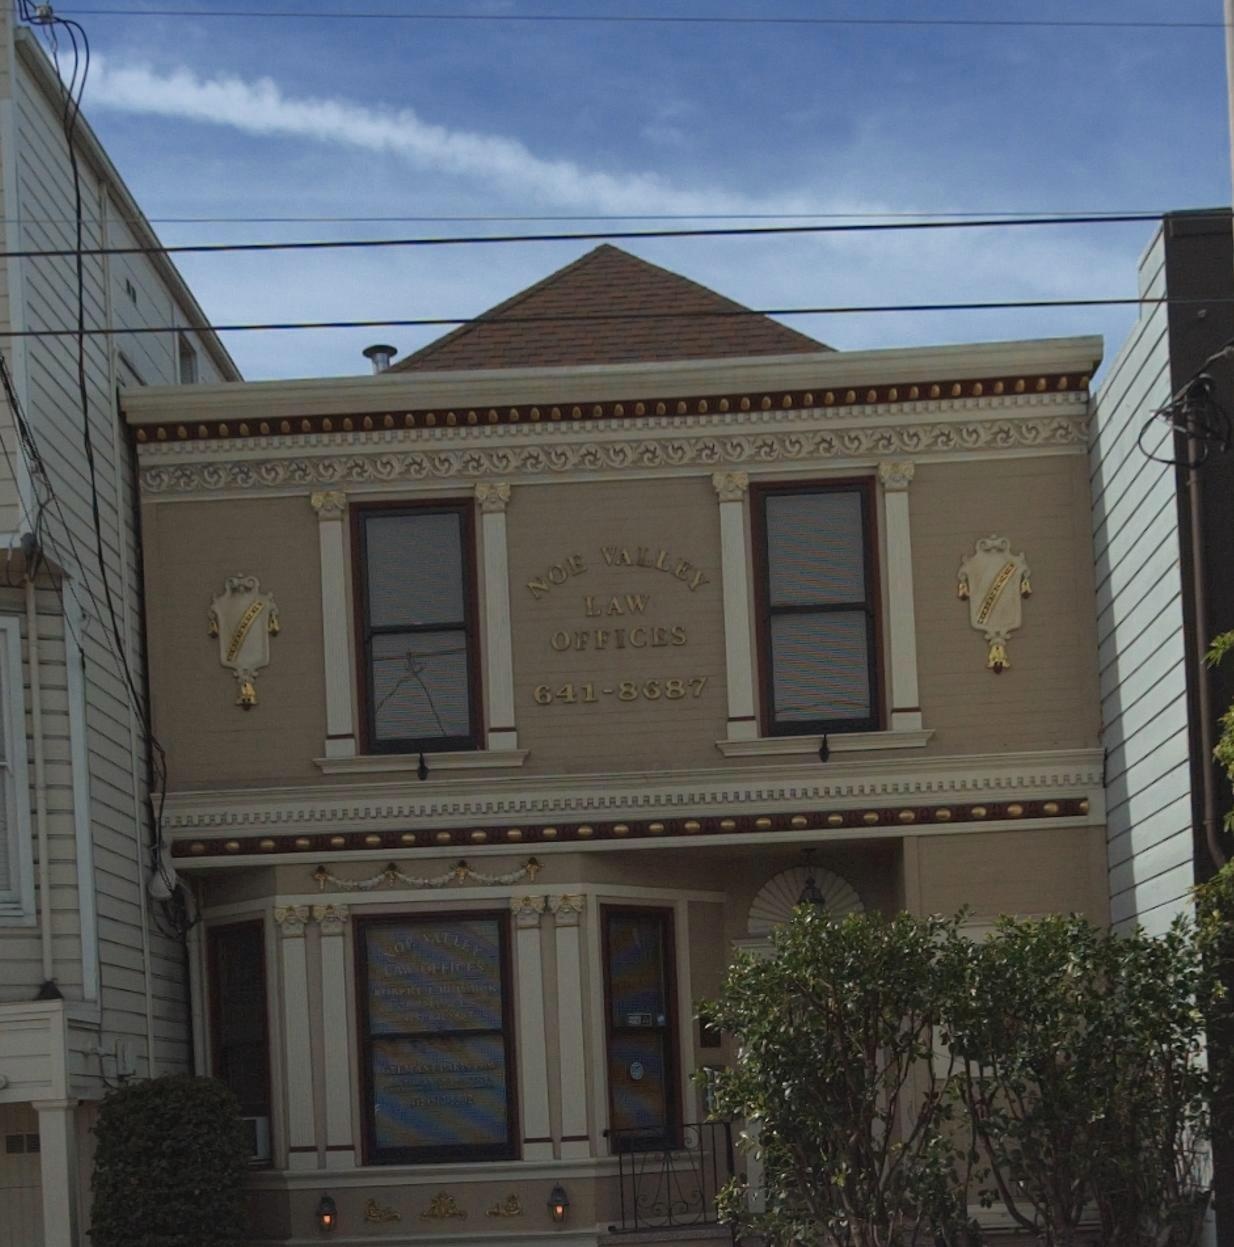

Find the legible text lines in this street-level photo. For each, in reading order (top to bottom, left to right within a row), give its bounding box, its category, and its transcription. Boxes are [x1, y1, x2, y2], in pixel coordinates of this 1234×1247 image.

[524, 545, 715, 604] BusinessName: NOE VALLEY
[584, 592, 653, 617] BusinessName: LAW
[549, 622, 689, 654] BusinessName: OFFICES
[531, 673, 710, 707] None: 641-8687
[379, 930, 488, 963] BusinessName: NOE VALLEY
[383, 958, 488, 980] BusinessName: LAW OFFICES